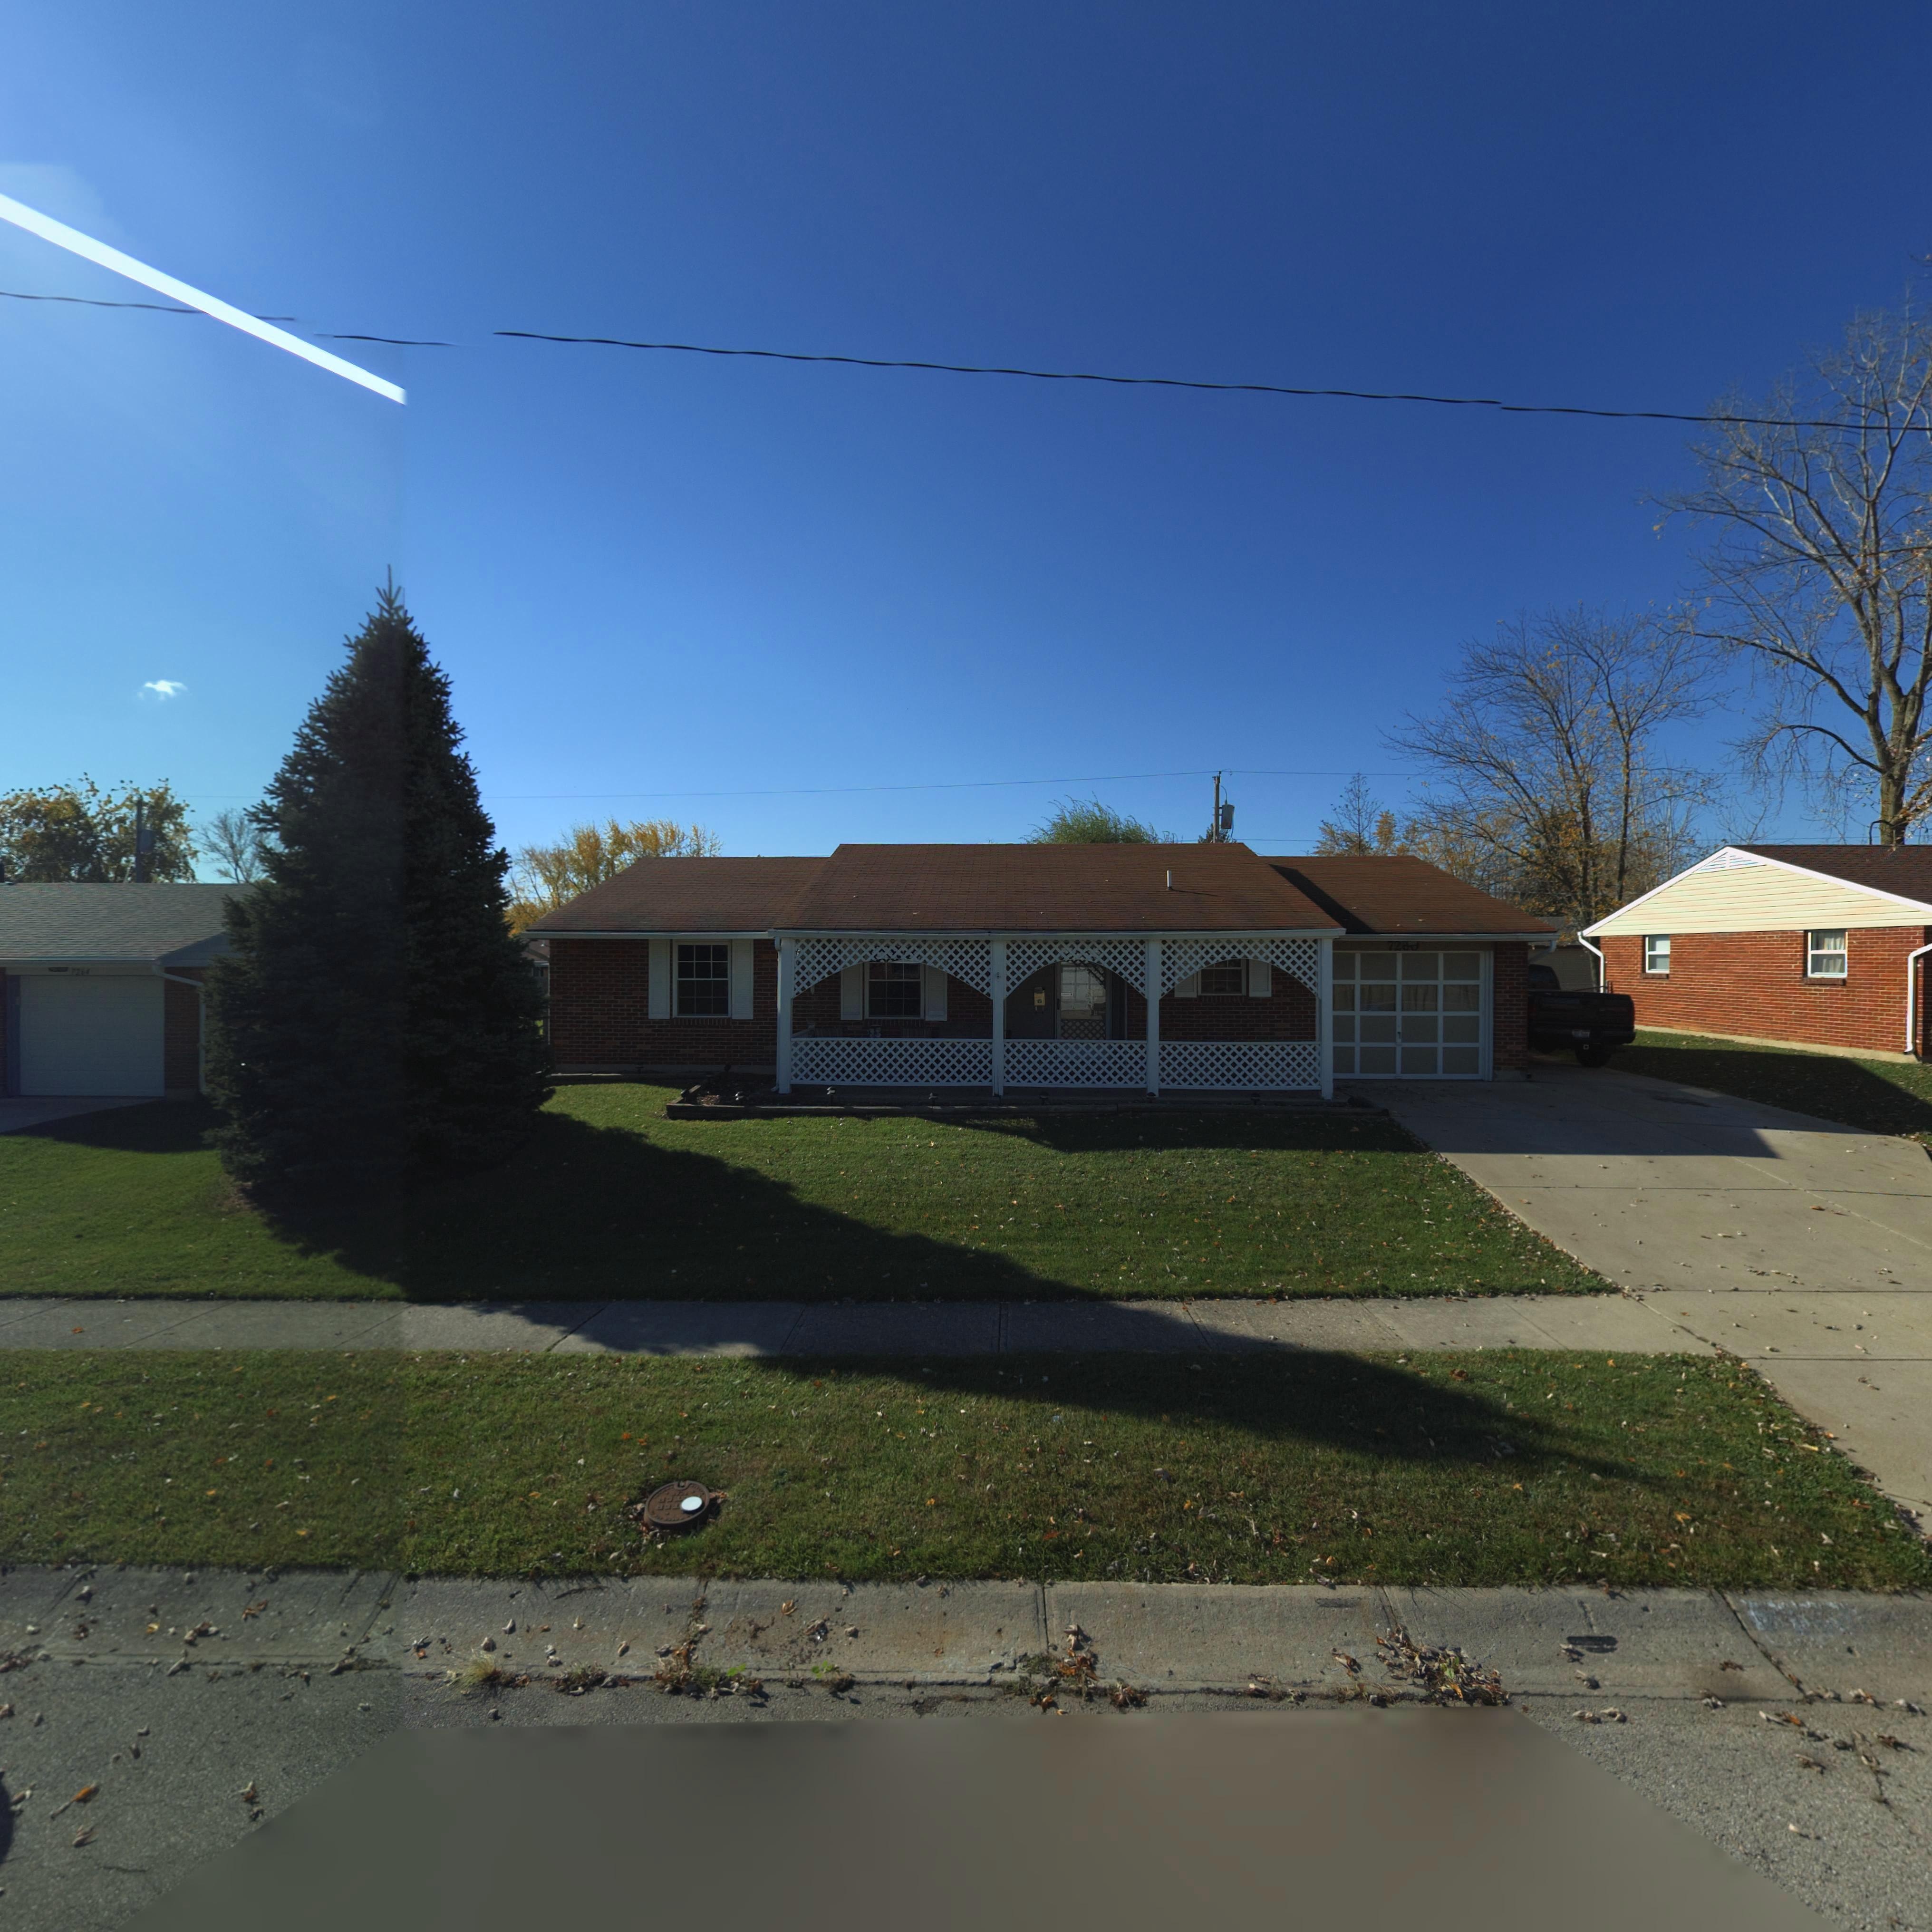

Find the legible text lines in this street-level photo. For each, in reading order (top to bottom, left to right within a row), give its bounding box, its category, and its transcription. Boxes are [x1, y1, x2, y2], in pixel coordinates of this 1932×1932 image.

[1387, 939, 1403, 952] StreetNumber: 72**
[69, 967, 92, 976] StreetNumber: 7264